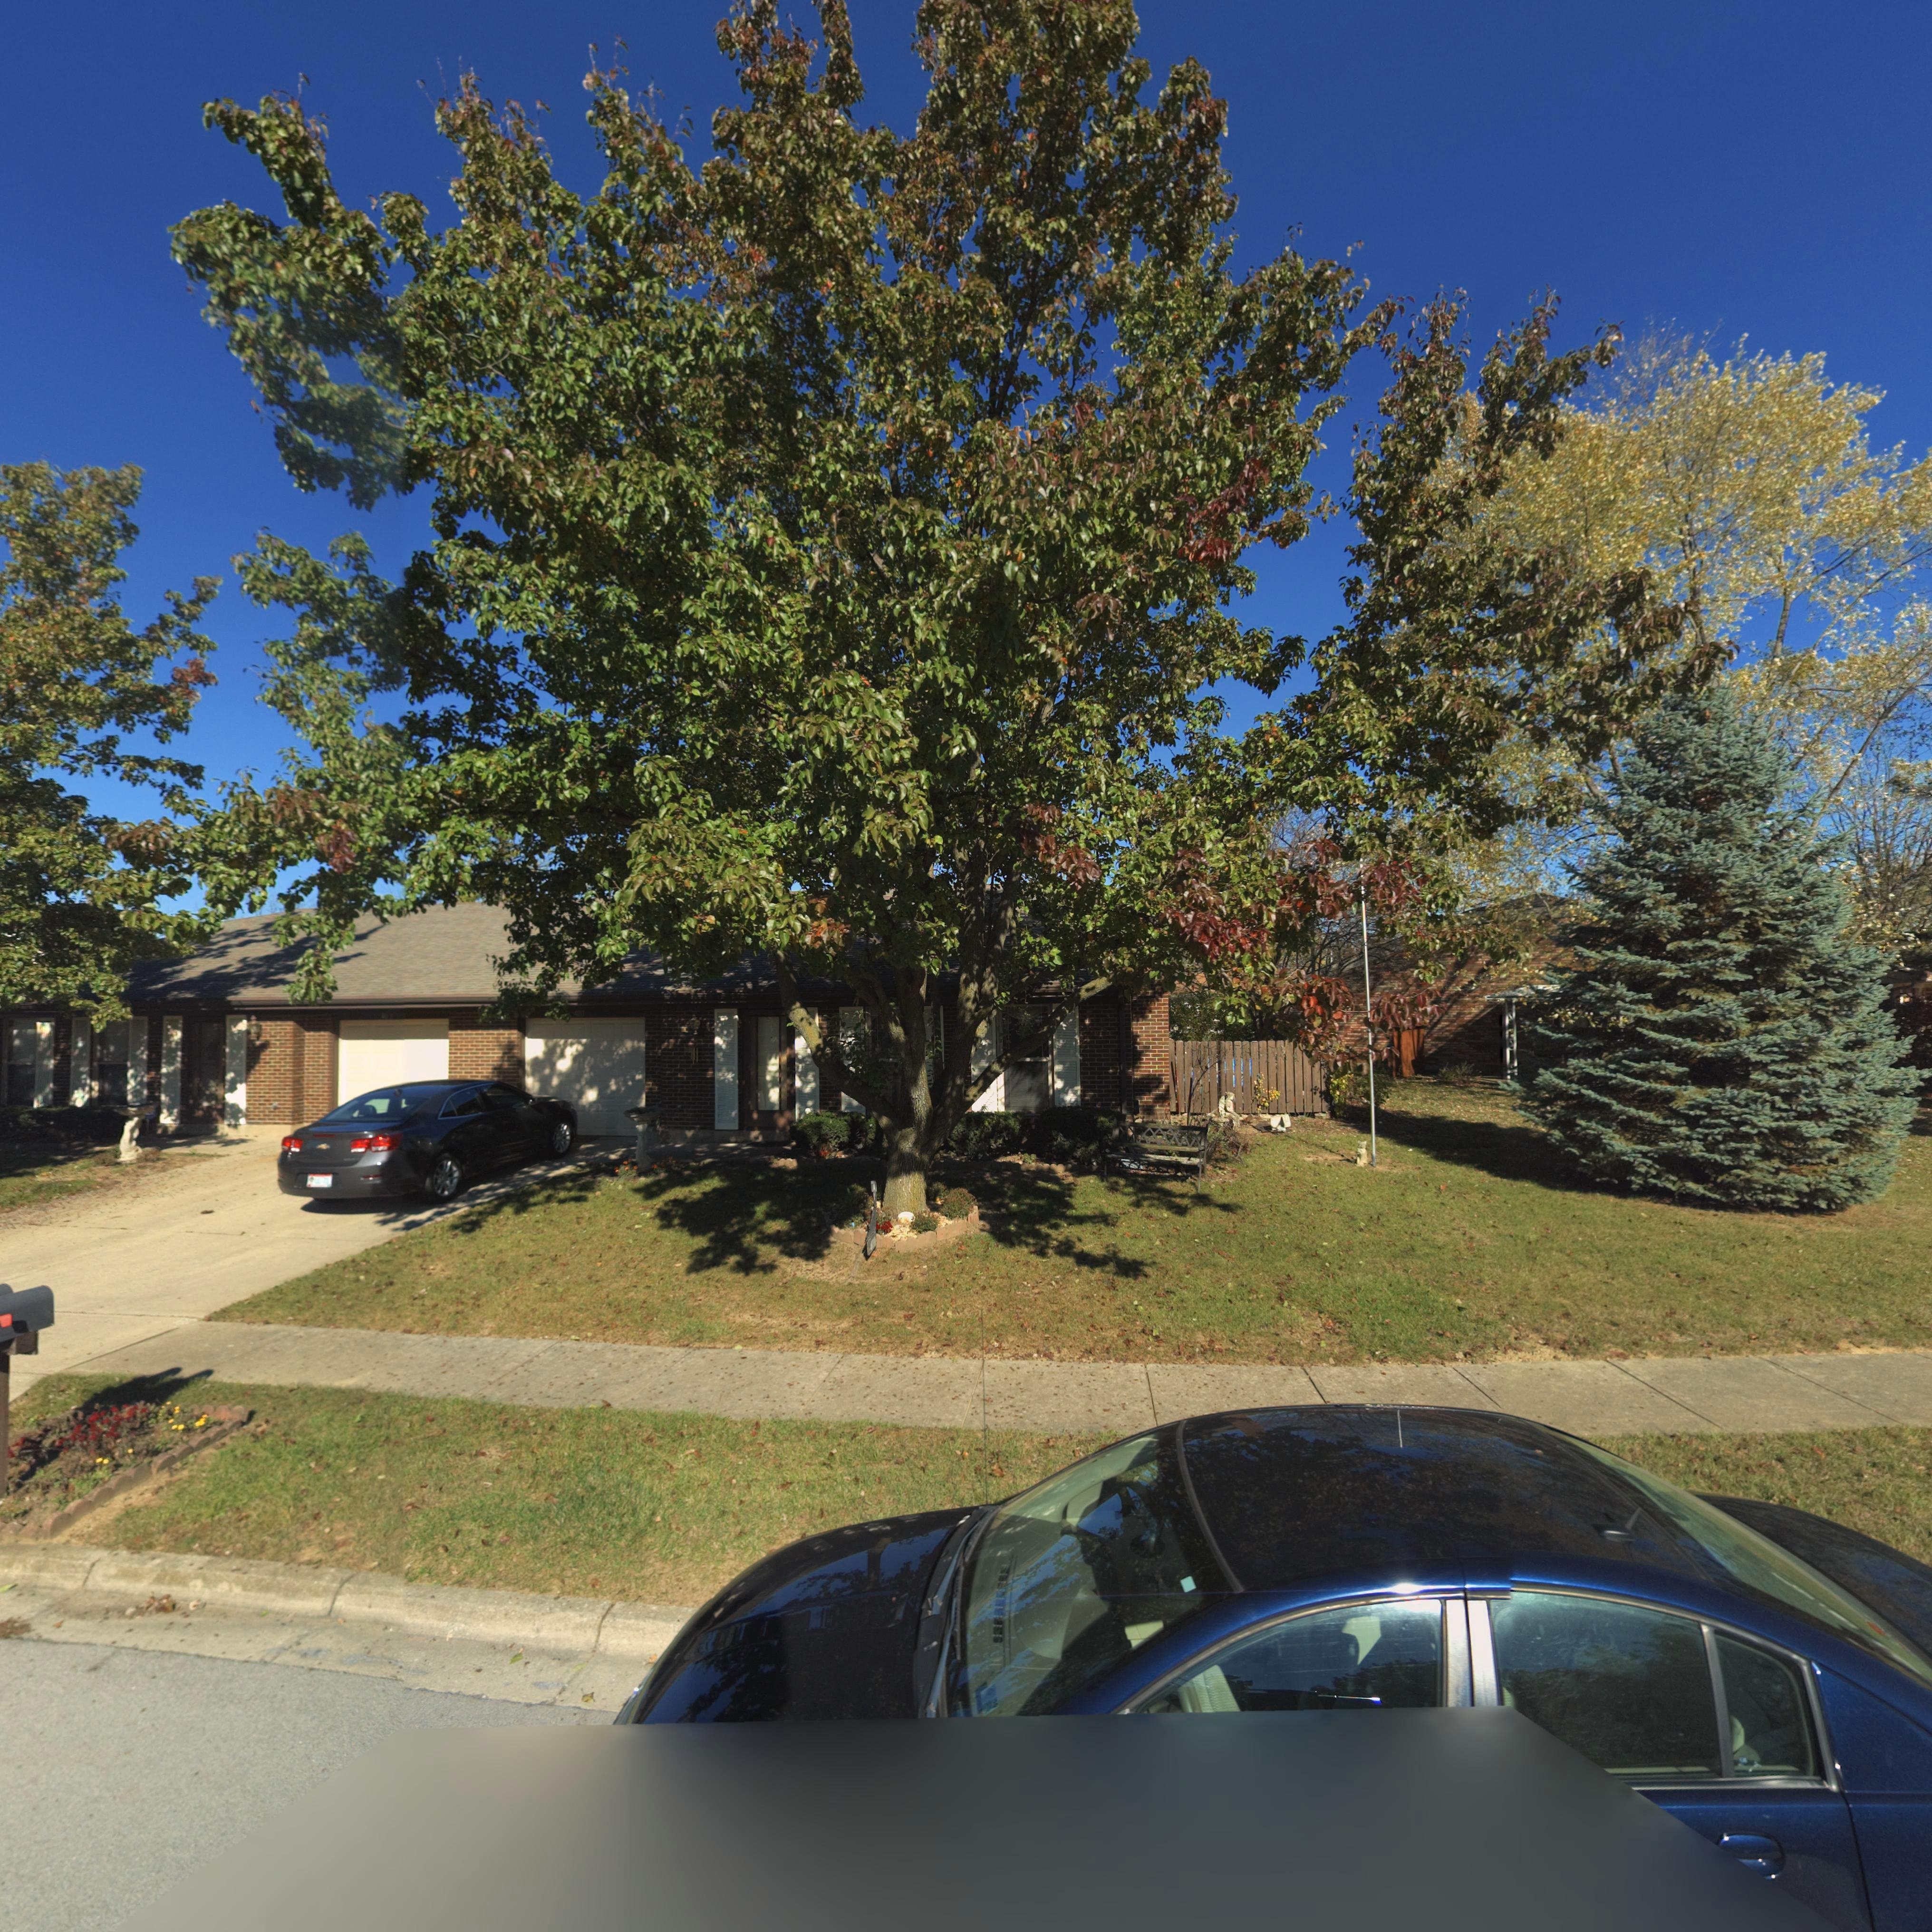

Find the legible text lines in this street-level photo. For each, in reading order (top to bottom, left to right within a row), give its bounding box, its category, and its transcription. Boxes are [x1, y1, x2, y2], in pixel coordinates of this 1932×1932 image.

[380, 1013, 394, 1020] StreetNumber: 40**
[573, 1009, 585, 1017] StreetNumber: 4011